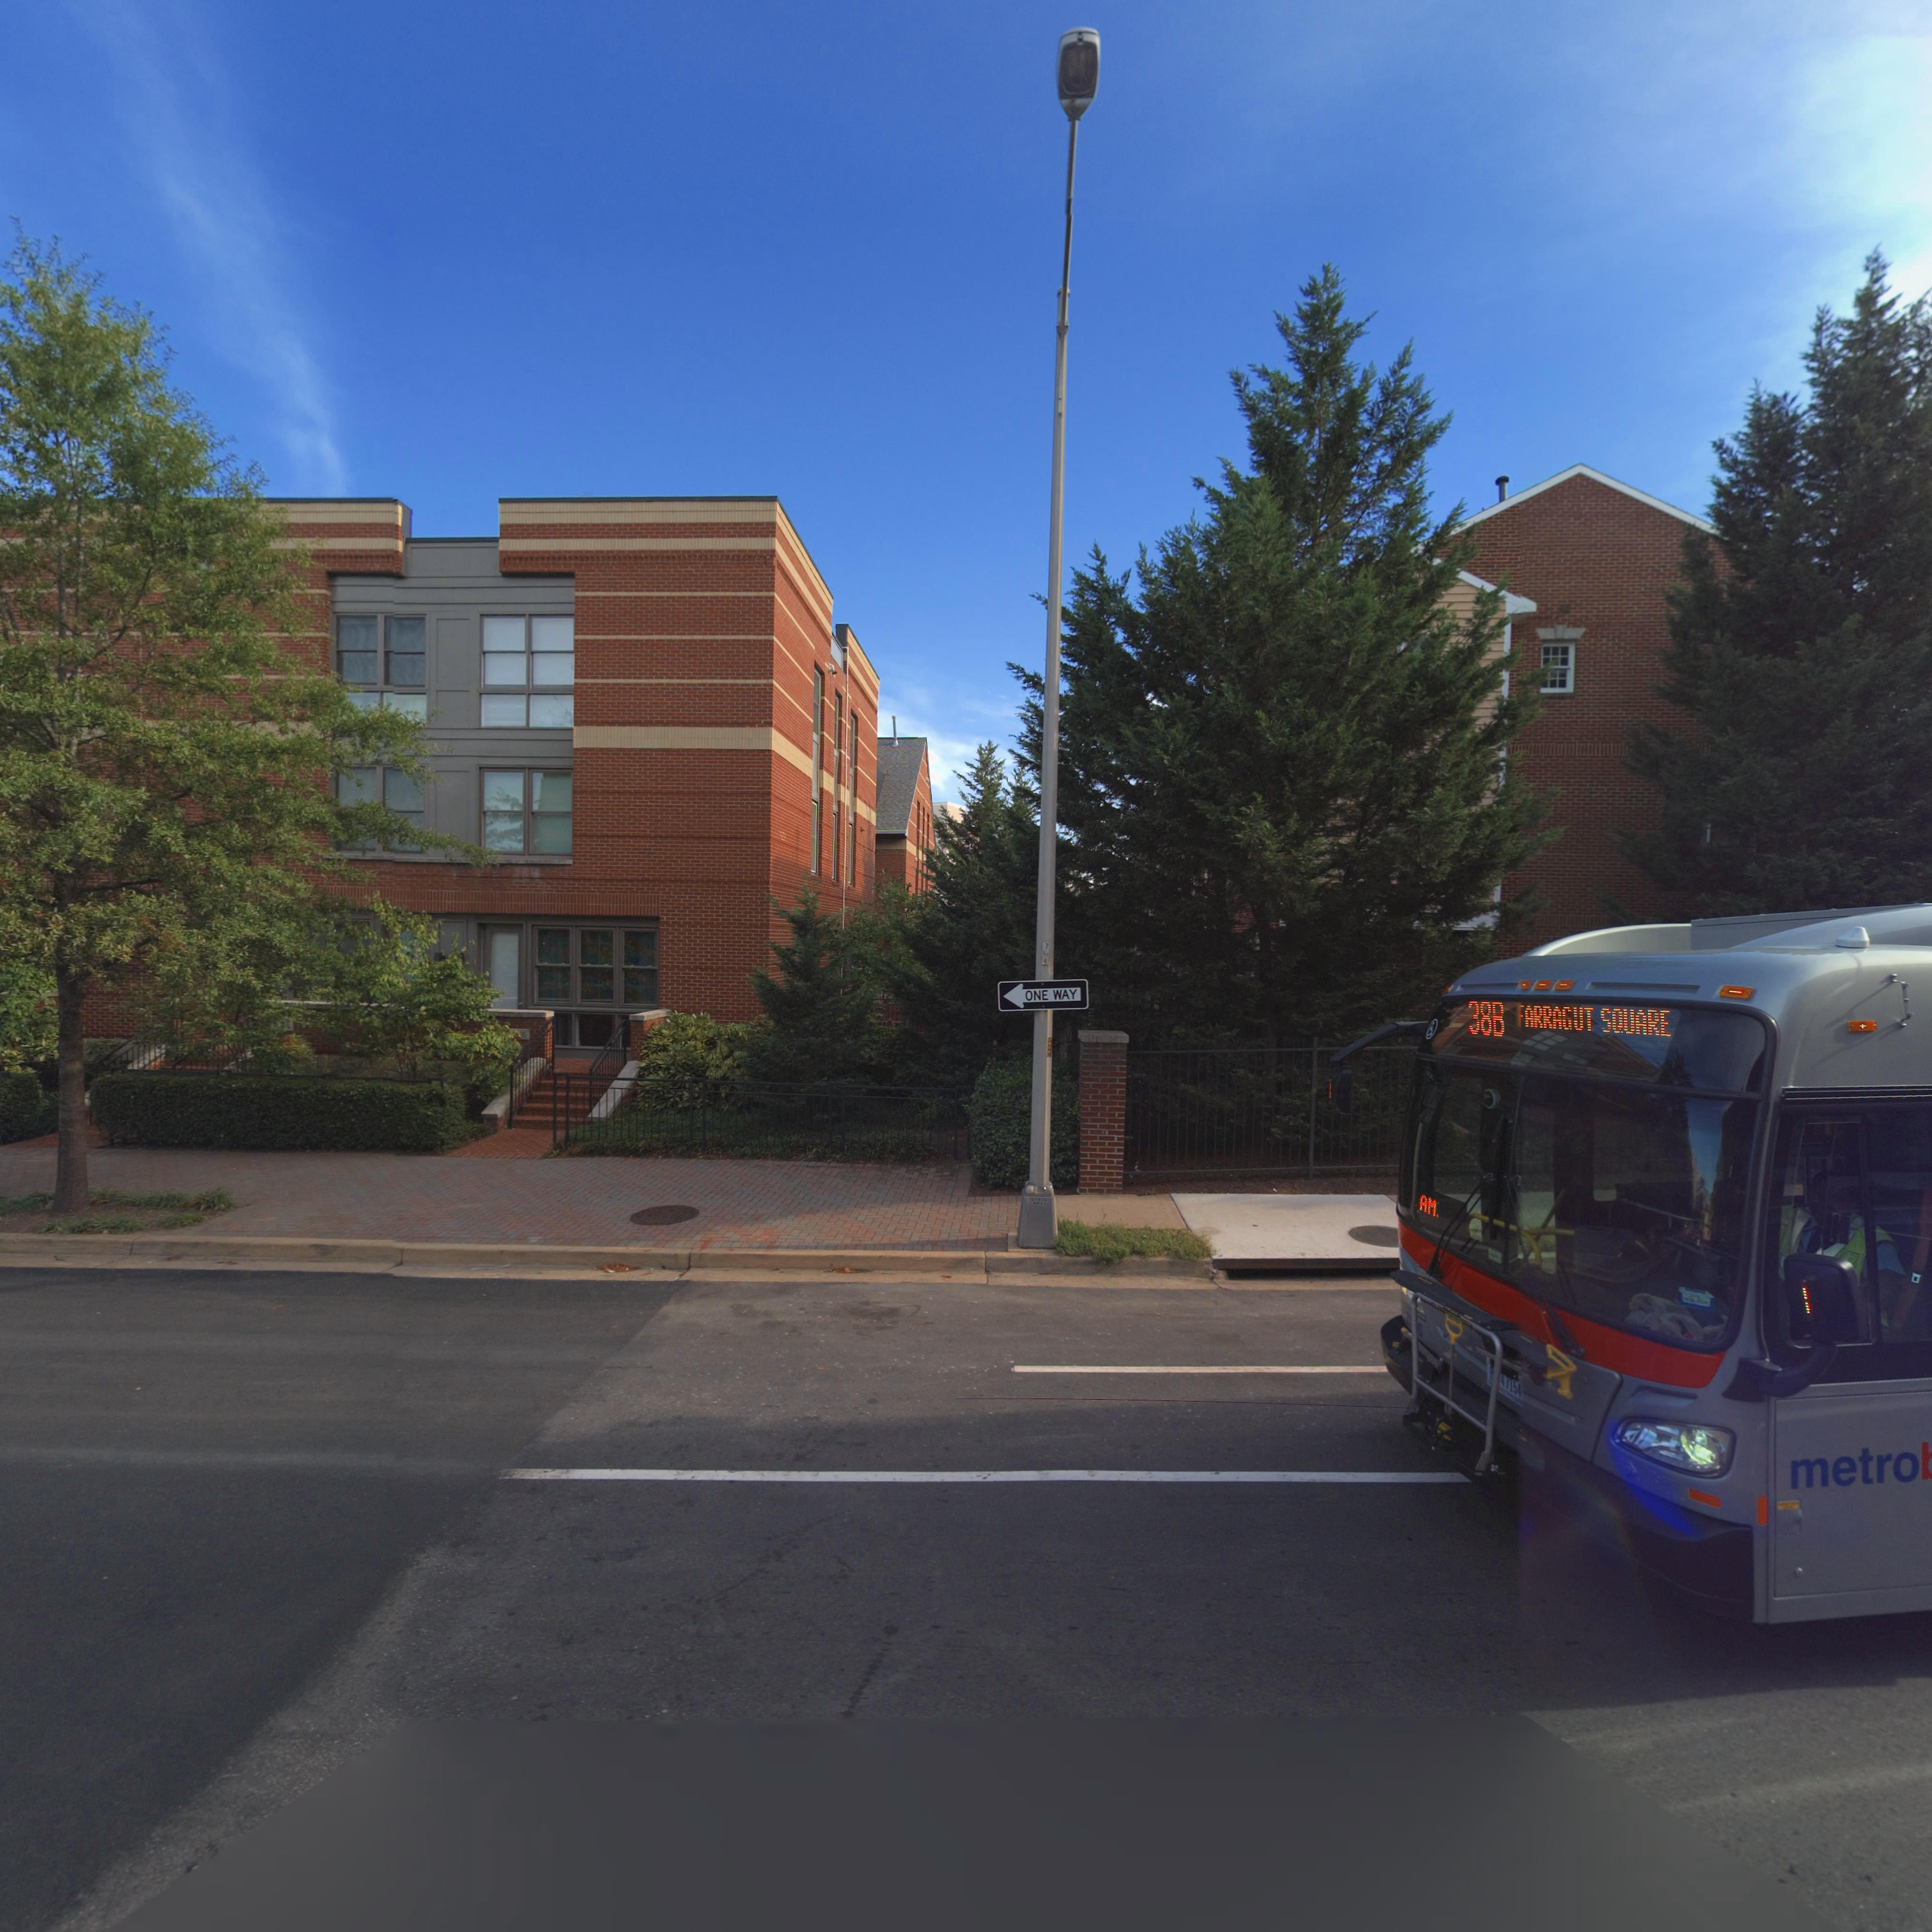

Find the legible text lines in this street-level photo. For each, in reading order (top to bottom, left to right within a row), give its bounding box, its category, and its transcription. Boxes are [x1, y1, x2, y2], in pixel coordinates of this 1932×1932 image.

[1042, 941, 1051, 965] None: 7 * 4
[1024, 987, 1079, 1002] None: ONE WAY
[1465, 999, 1674, 1039] None: 38B *ARRAGUT SQUARE
[1418, 1192, 1440, 1220] None: AM
[1789, 1445, 1922, 1491] None: metro